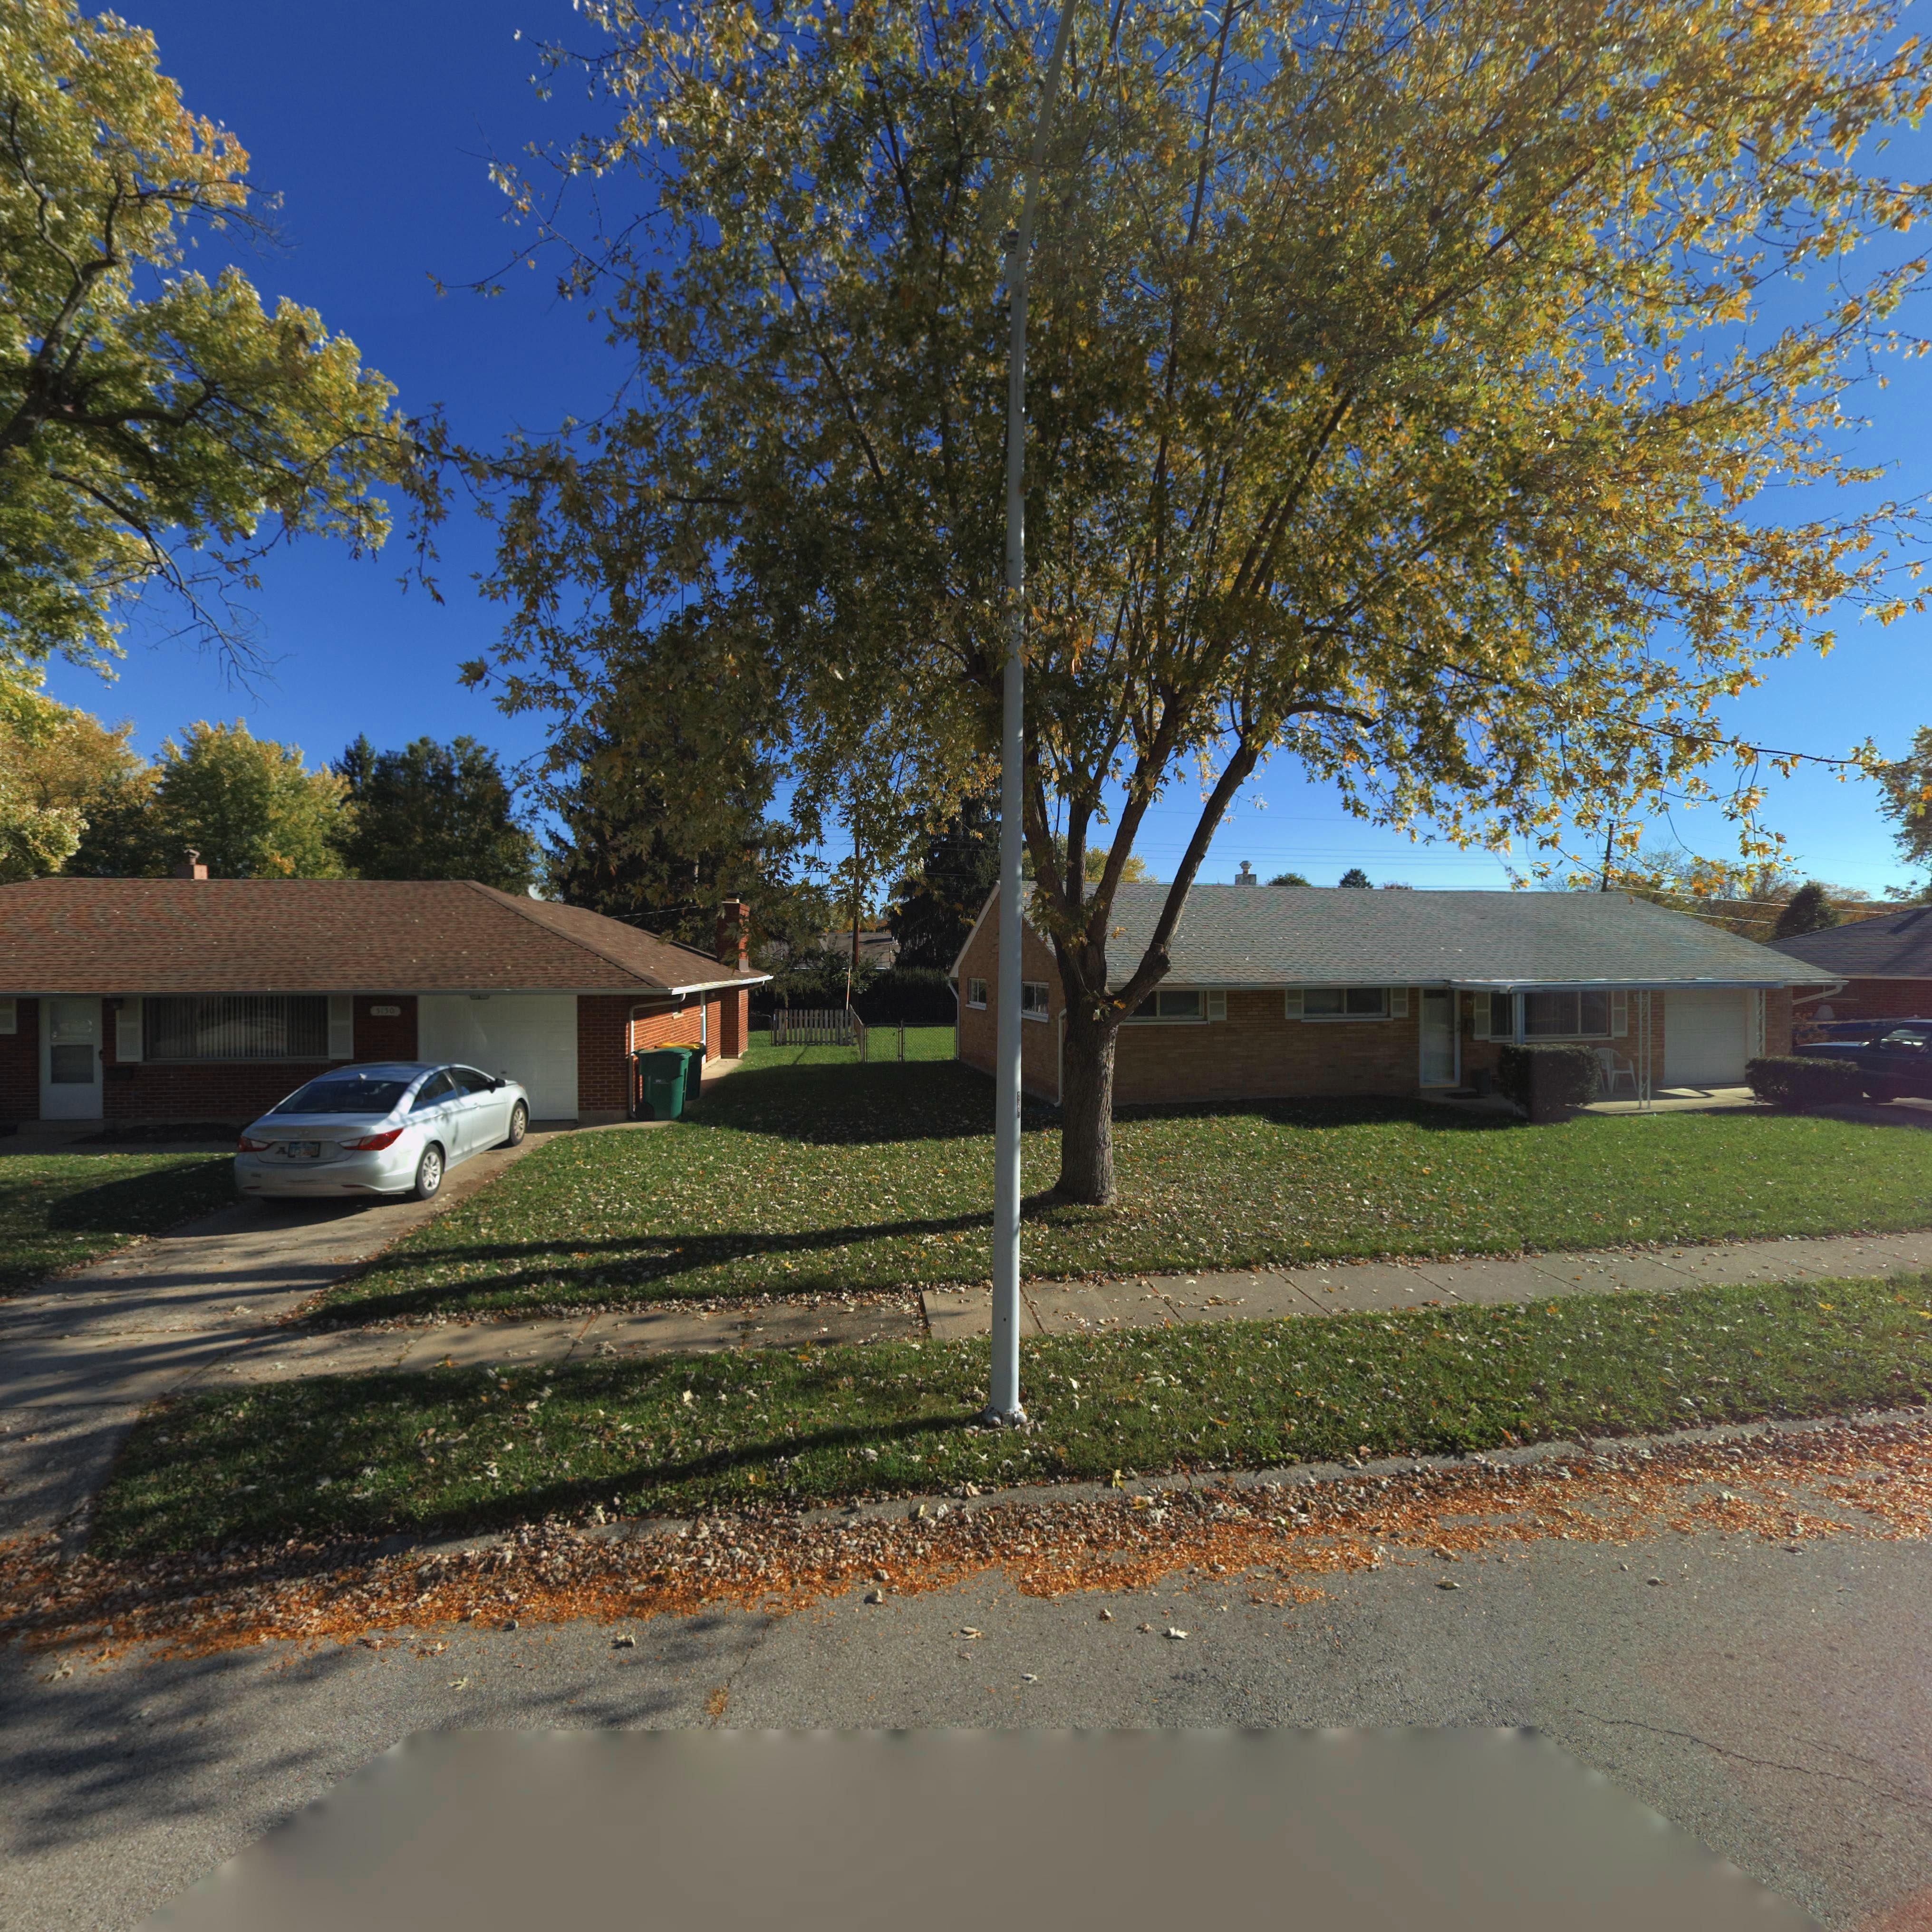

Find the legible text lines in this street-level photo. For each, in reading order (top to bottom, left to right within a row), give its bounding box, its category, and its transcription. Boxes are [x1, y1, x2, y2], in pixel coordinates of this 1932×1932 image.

[375, 1006, 395, 1014] StreetNumber: 5150